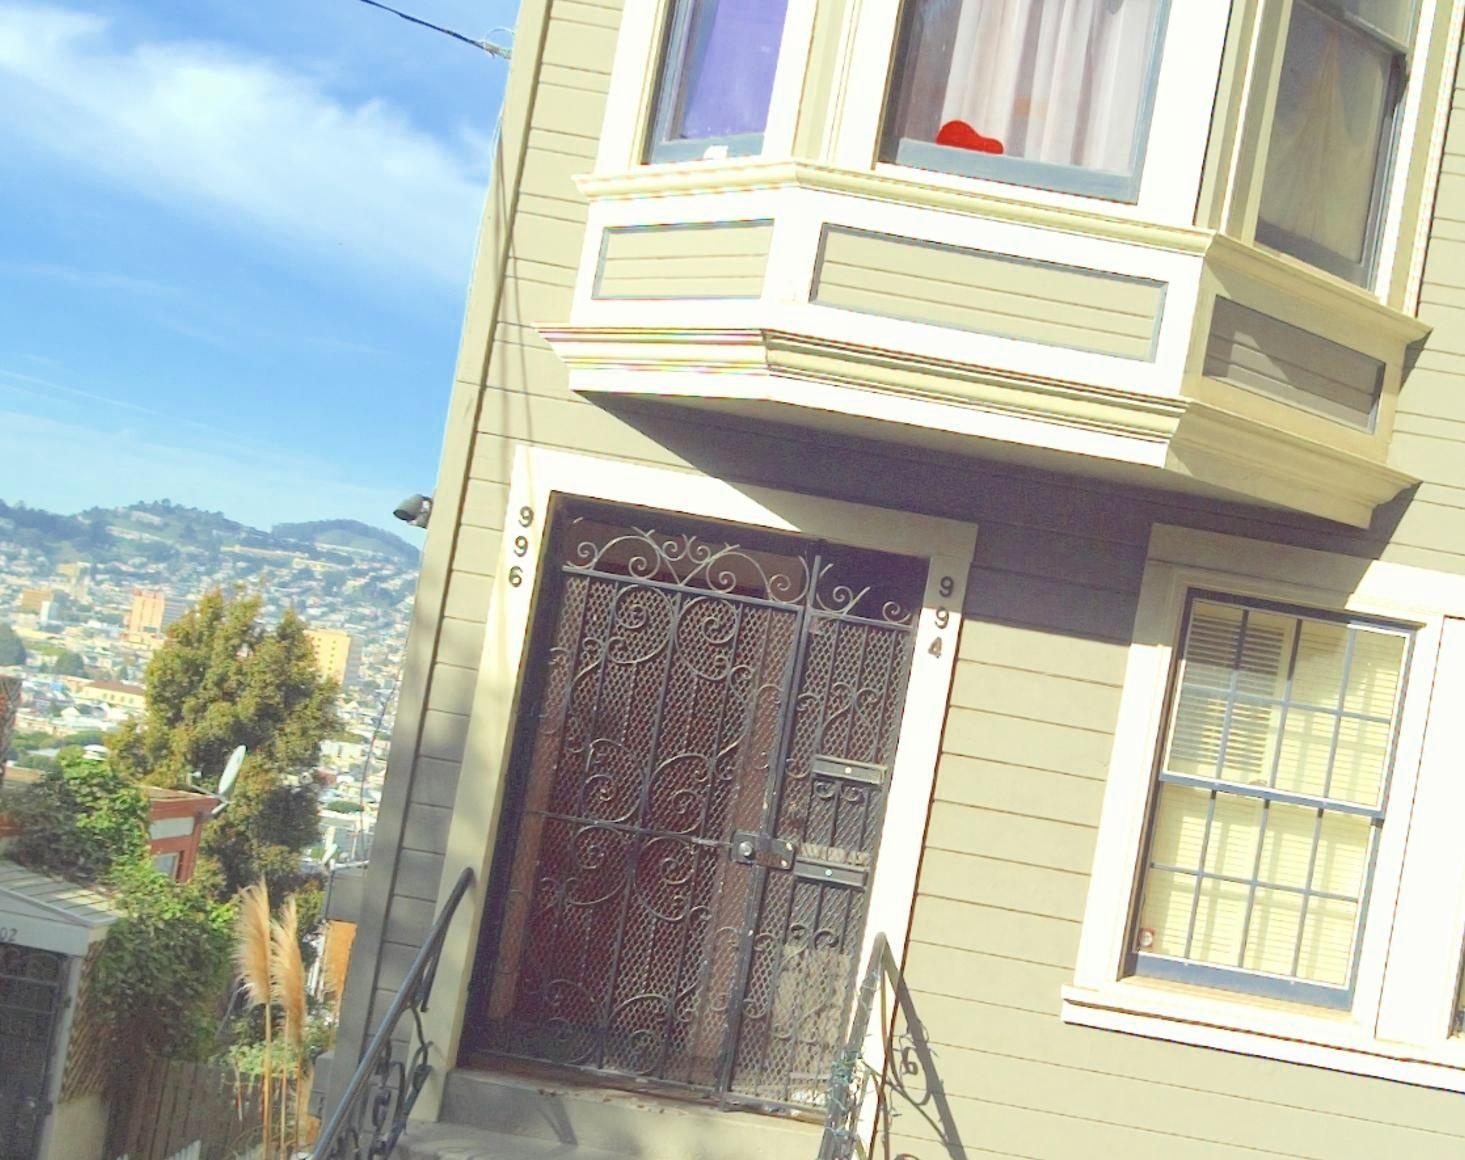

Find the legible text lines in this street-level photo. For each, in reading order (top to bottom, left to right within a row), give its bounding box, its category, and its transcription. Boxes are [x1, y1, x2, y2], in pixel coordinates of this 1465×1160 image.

[505, 505, 535, 589] StreetNumber: 996
[925, 575, 955, 661] StreetNumber: 994